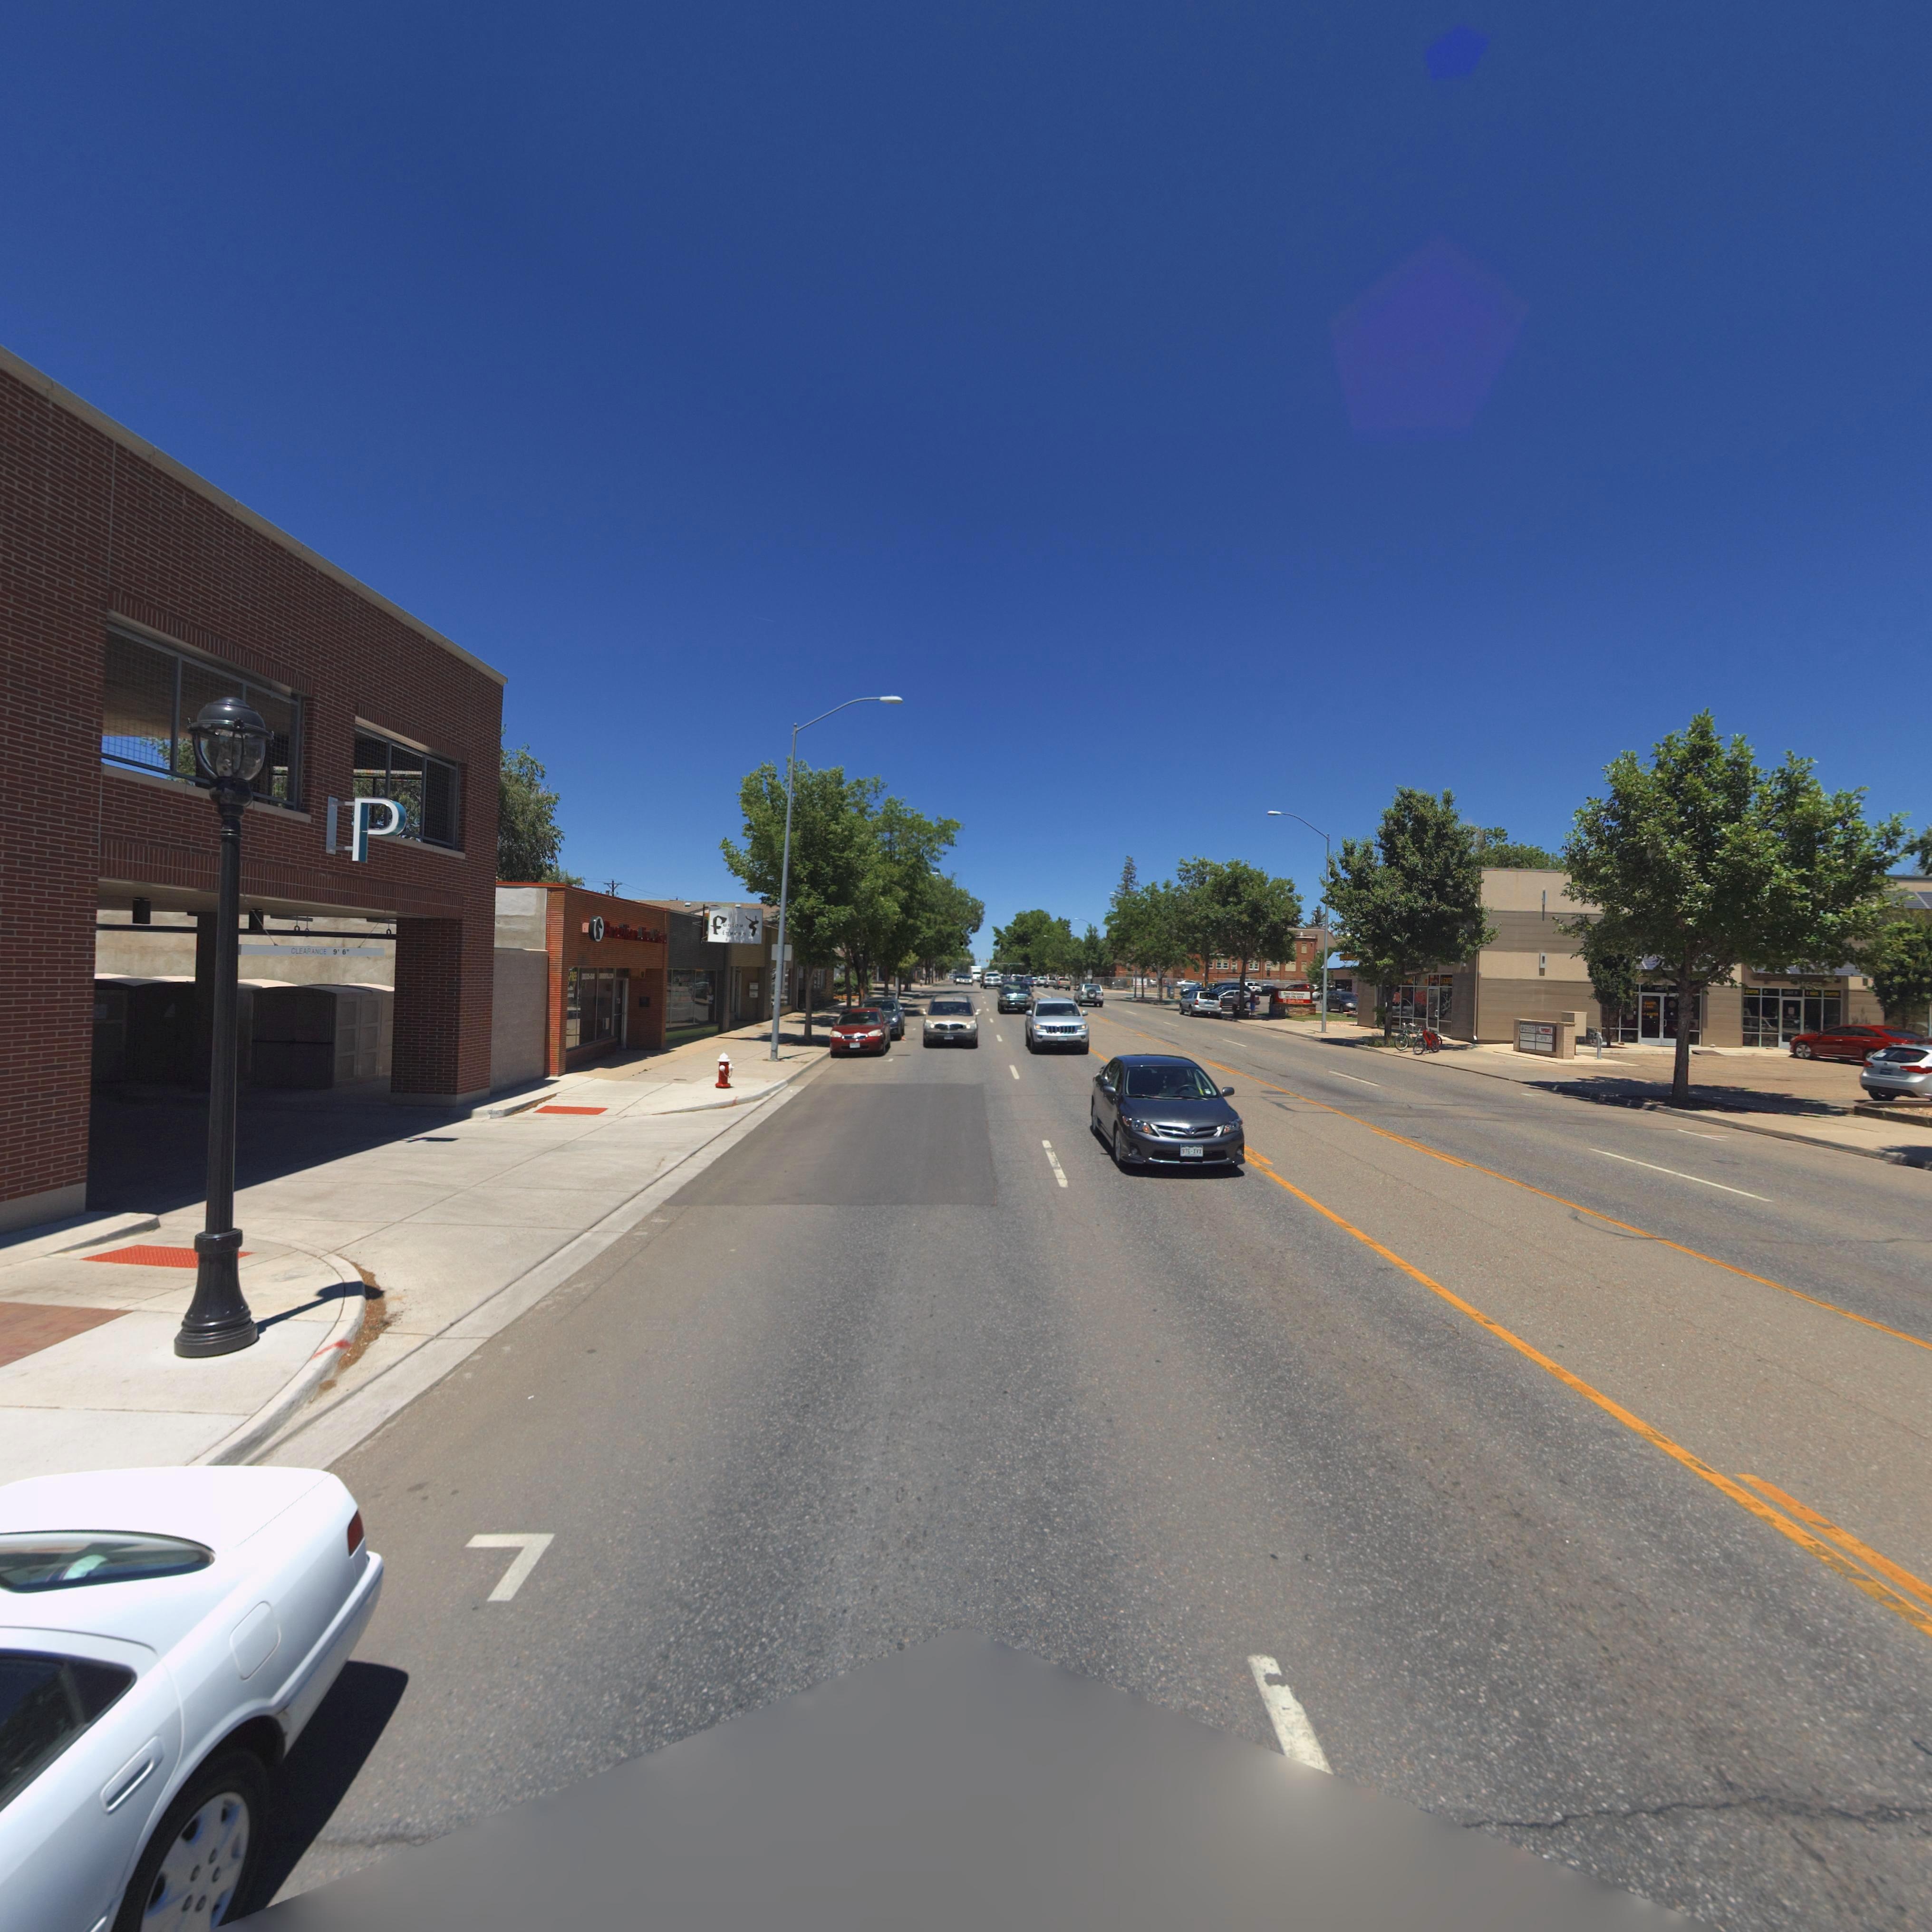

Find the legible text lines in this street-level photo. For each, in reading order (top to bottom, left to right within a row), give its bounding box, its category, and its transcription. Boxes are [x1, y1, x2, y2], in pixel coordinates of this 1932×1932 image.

[710, 915, 727, 935] BusinessName: f
[723, 922, 743, 927] BusinessName: usioN
[722, 928, 745, 936] BusinessName: iTNEss
[1655, 986, 1669, 990] StreetNumberRange: UNIT A
[1784, 990, 1797, 994] BusinessName: ***T A